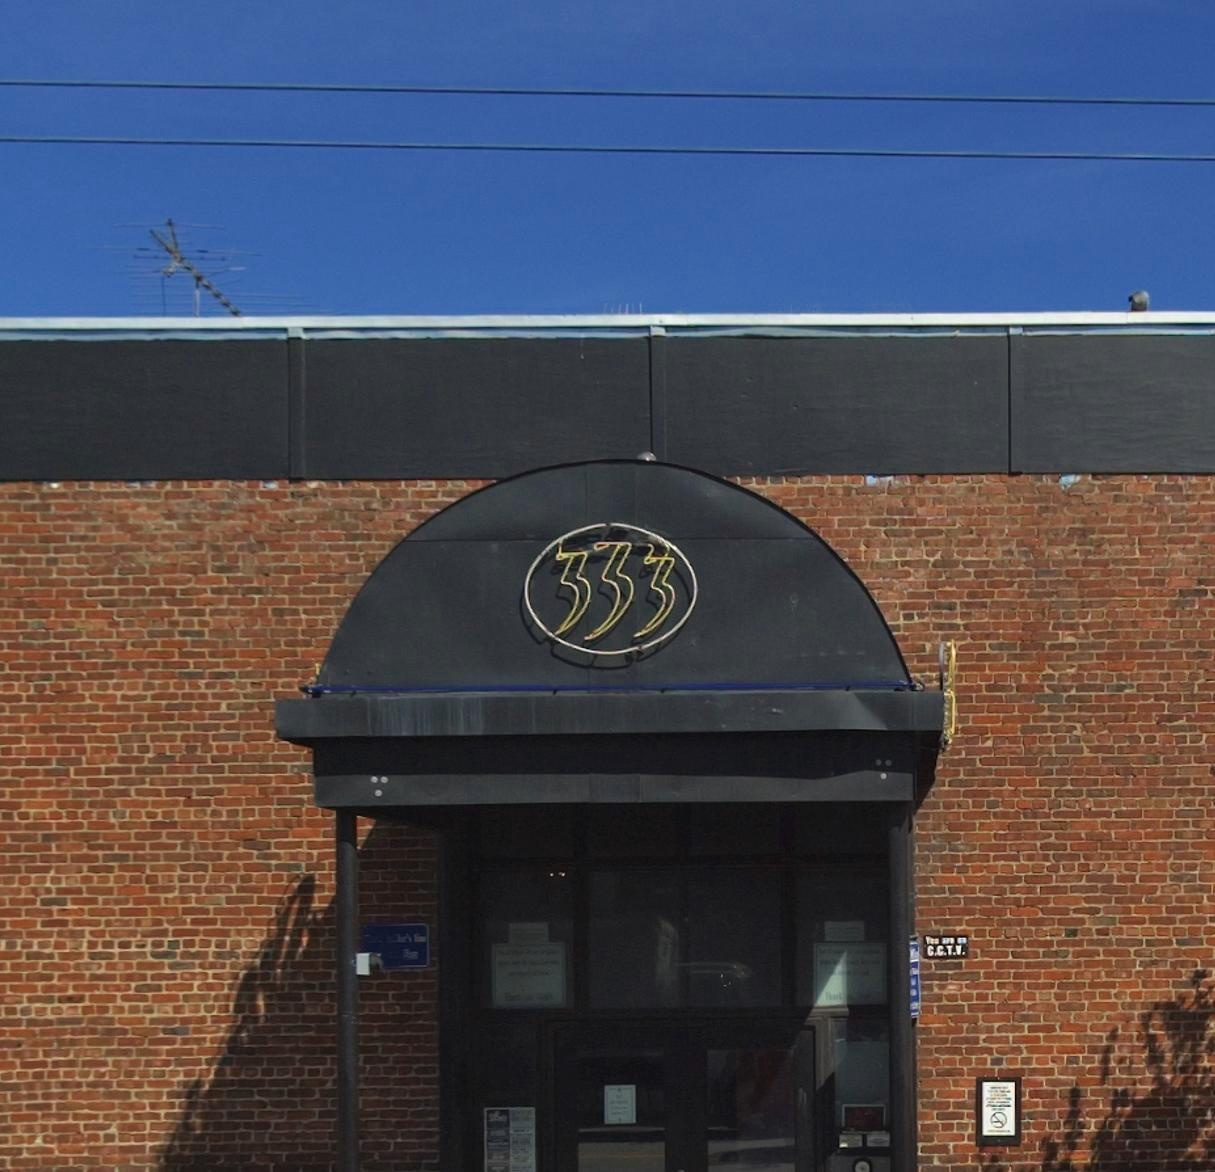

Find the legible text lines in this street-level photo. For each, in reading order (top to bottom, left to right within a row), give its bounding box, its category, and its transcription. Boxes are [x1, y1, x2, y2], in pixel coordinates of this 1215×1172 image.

[546, 535, 682, 647] StreetNumber: 333
[924, 942, 969, 960] None: C.C.T.V.